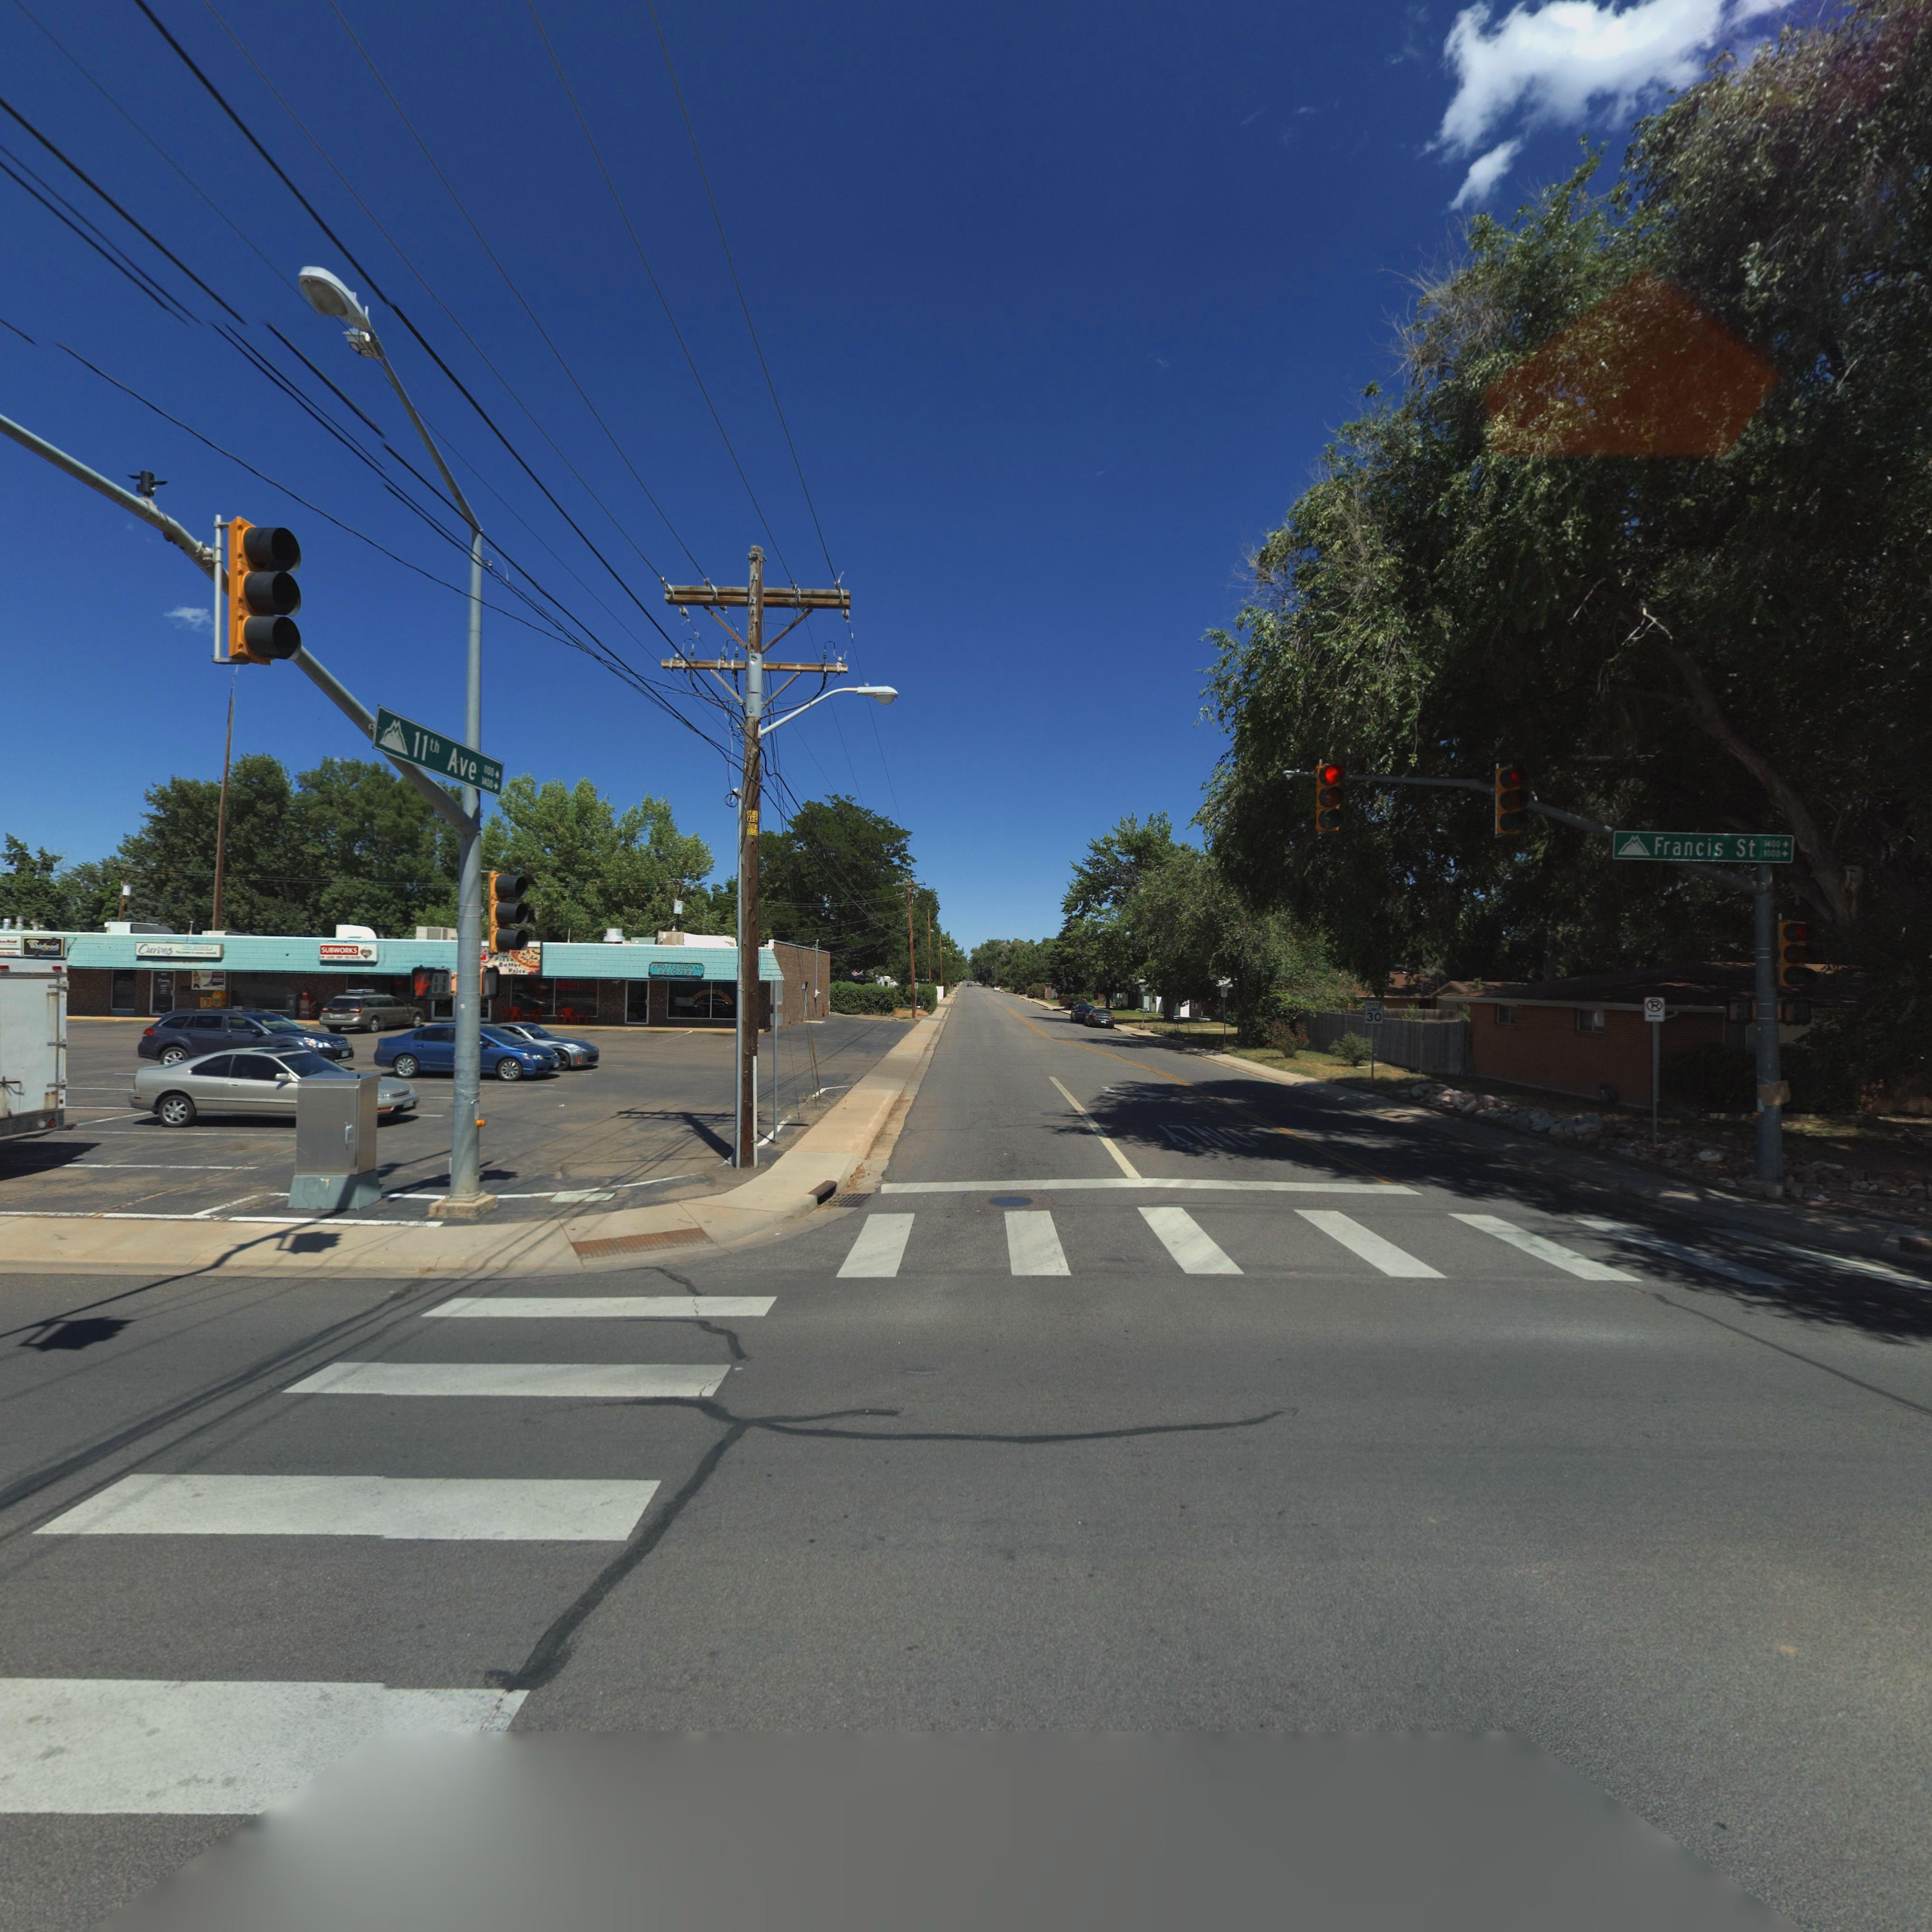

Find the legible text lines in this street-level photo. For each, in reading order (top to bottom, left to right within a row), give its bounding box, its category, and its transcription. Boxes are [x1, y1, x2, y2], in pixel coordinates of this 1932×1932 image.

[412, 730, 478, 782] StreetName: 11th Ave
[483, 764, 495, 776] StreetNumberRange: 1100
[481, 776, 499, 791] StreetNumberRange: 1400 ->
[1653, 836, 1757, 858] StreetName: Francis St
[1764, 839, 1781, 848] StreetNumberRange: 1400
[1763, 849, 1789, 858] StreetNumberRange: 1000 ->
[137, 943, 173, 956] BusinessName: Curves
[320, 947, 357, 954] BusinessName: SUBWORKS
[658, 969, 695, 975] BusinessName: RECOVERY
[652, 964, 703, 970] BusinessName: PROFESSIONAL
[688, 988, 734, 1006] BusinessName: PROFESSIO**L RECOV*RY